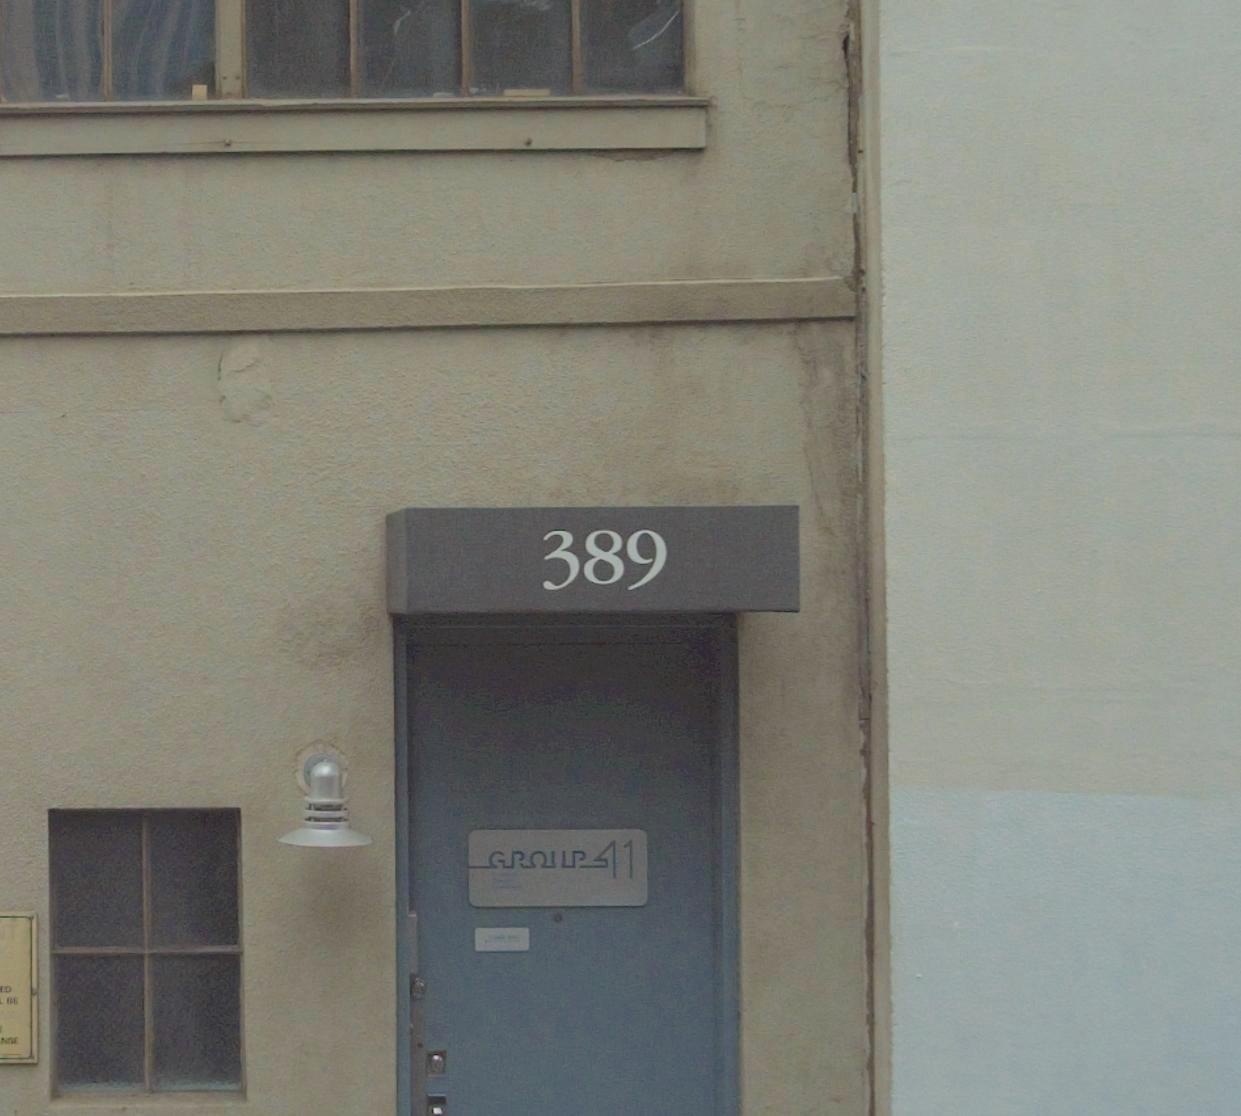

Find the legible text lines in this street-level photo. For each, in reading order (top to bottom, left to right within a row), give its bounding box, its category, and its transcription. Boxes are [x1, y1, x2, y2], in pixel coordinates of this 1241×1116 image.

[539, 528, 670, 594] StreetNumber: 389
[485, 834, 638, 883] BusinessName: GROUP 41